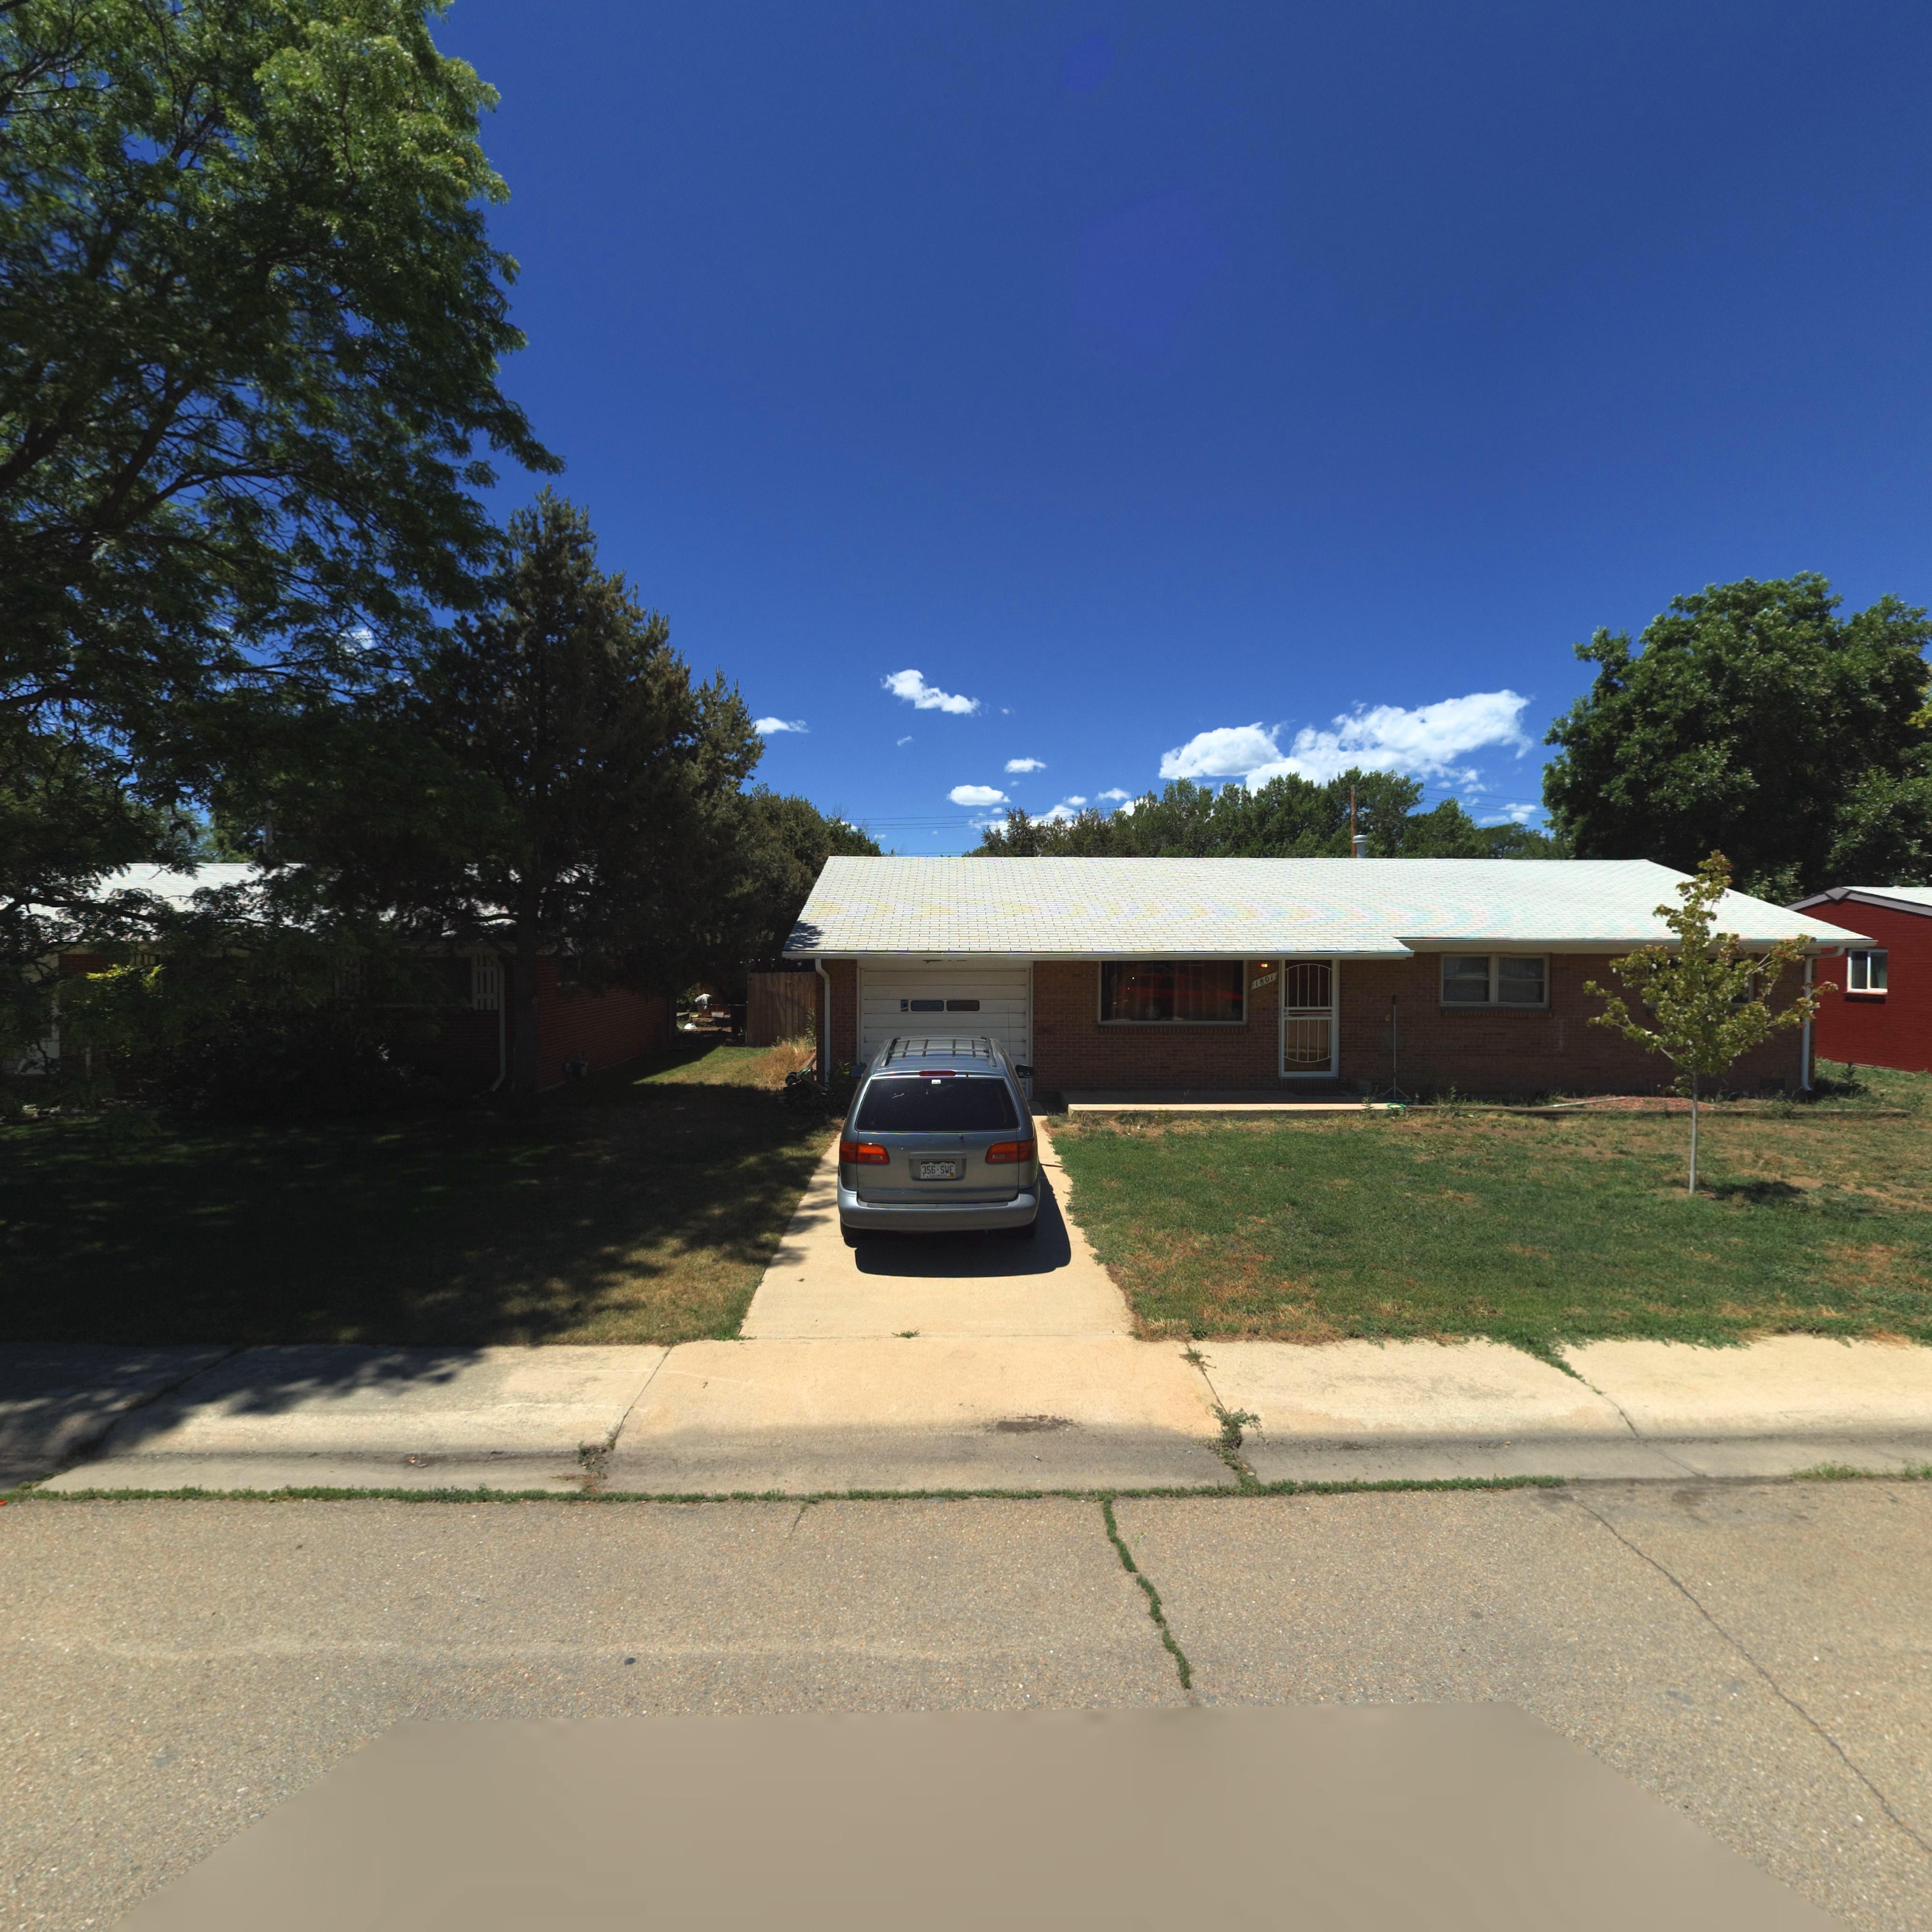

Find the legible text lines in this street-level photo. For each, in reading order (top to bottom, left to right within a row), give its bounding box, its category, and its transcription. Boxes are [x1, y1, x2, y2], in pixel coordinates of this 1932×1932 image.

[1256, 973, 1273, 987] StreetNumber: 1801